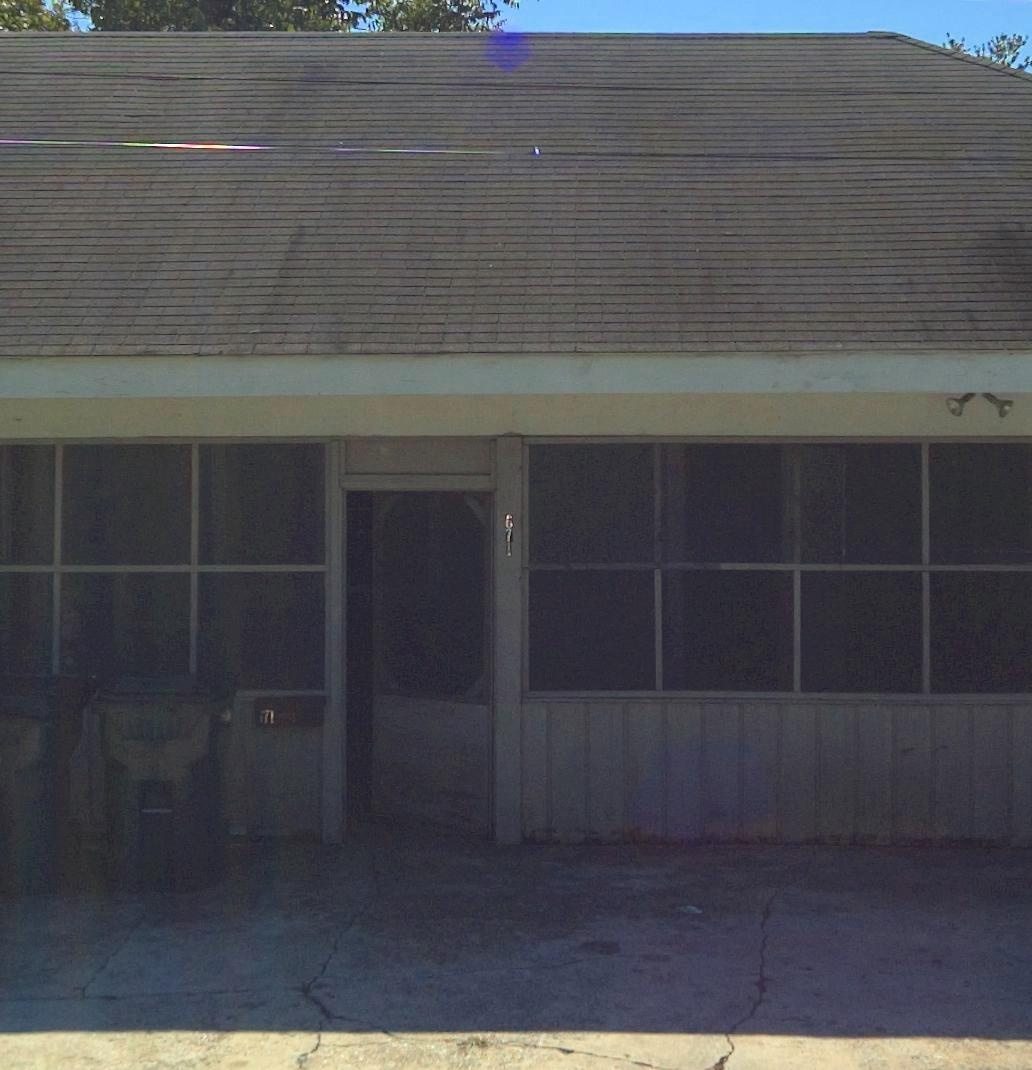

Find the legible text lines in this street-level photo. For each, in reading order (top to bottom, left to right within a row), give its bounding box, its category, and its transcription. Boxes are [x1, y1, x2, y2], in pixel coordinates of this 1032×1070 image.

[503, 512, 515, 559] StreetNumber: 671
[256, 708, 275, 725] StreetNumber: *71